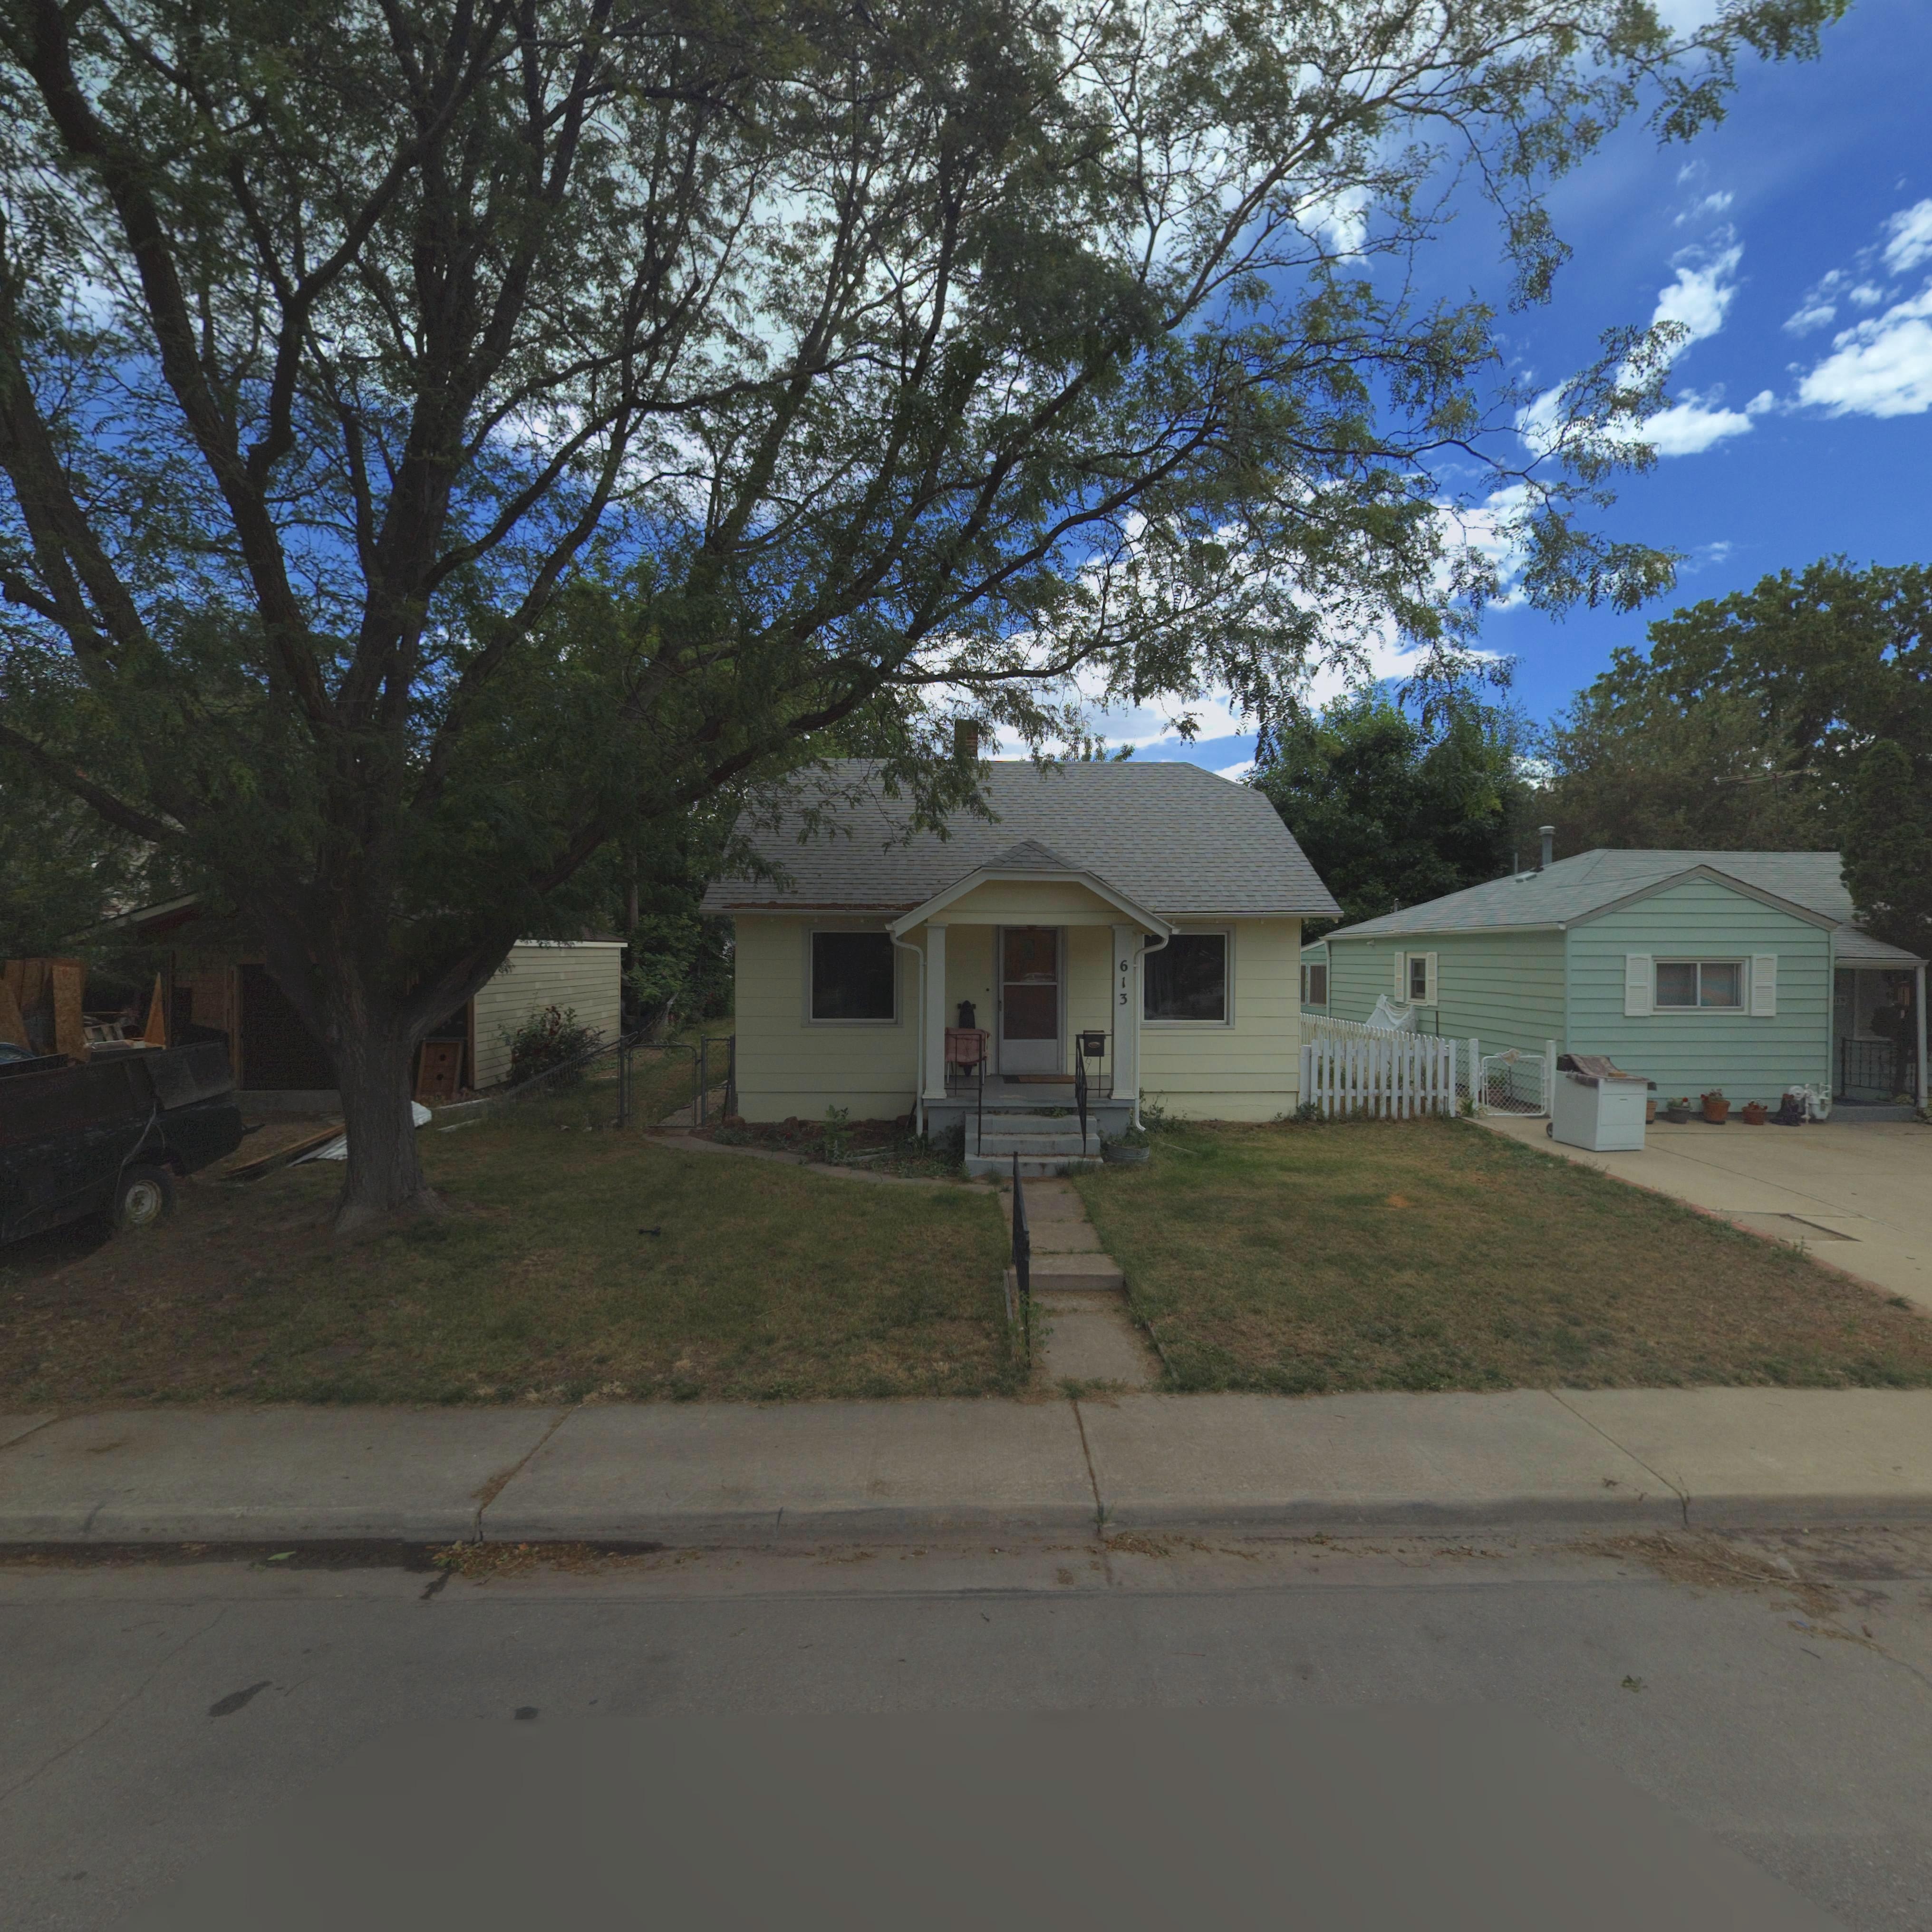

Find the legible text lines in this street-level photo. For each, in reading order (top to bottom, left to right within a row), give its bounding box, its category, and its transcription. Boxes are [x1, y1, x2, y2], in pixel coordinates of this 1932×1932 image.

[1119, 959, 1128, 1005] StreetNumber: 613